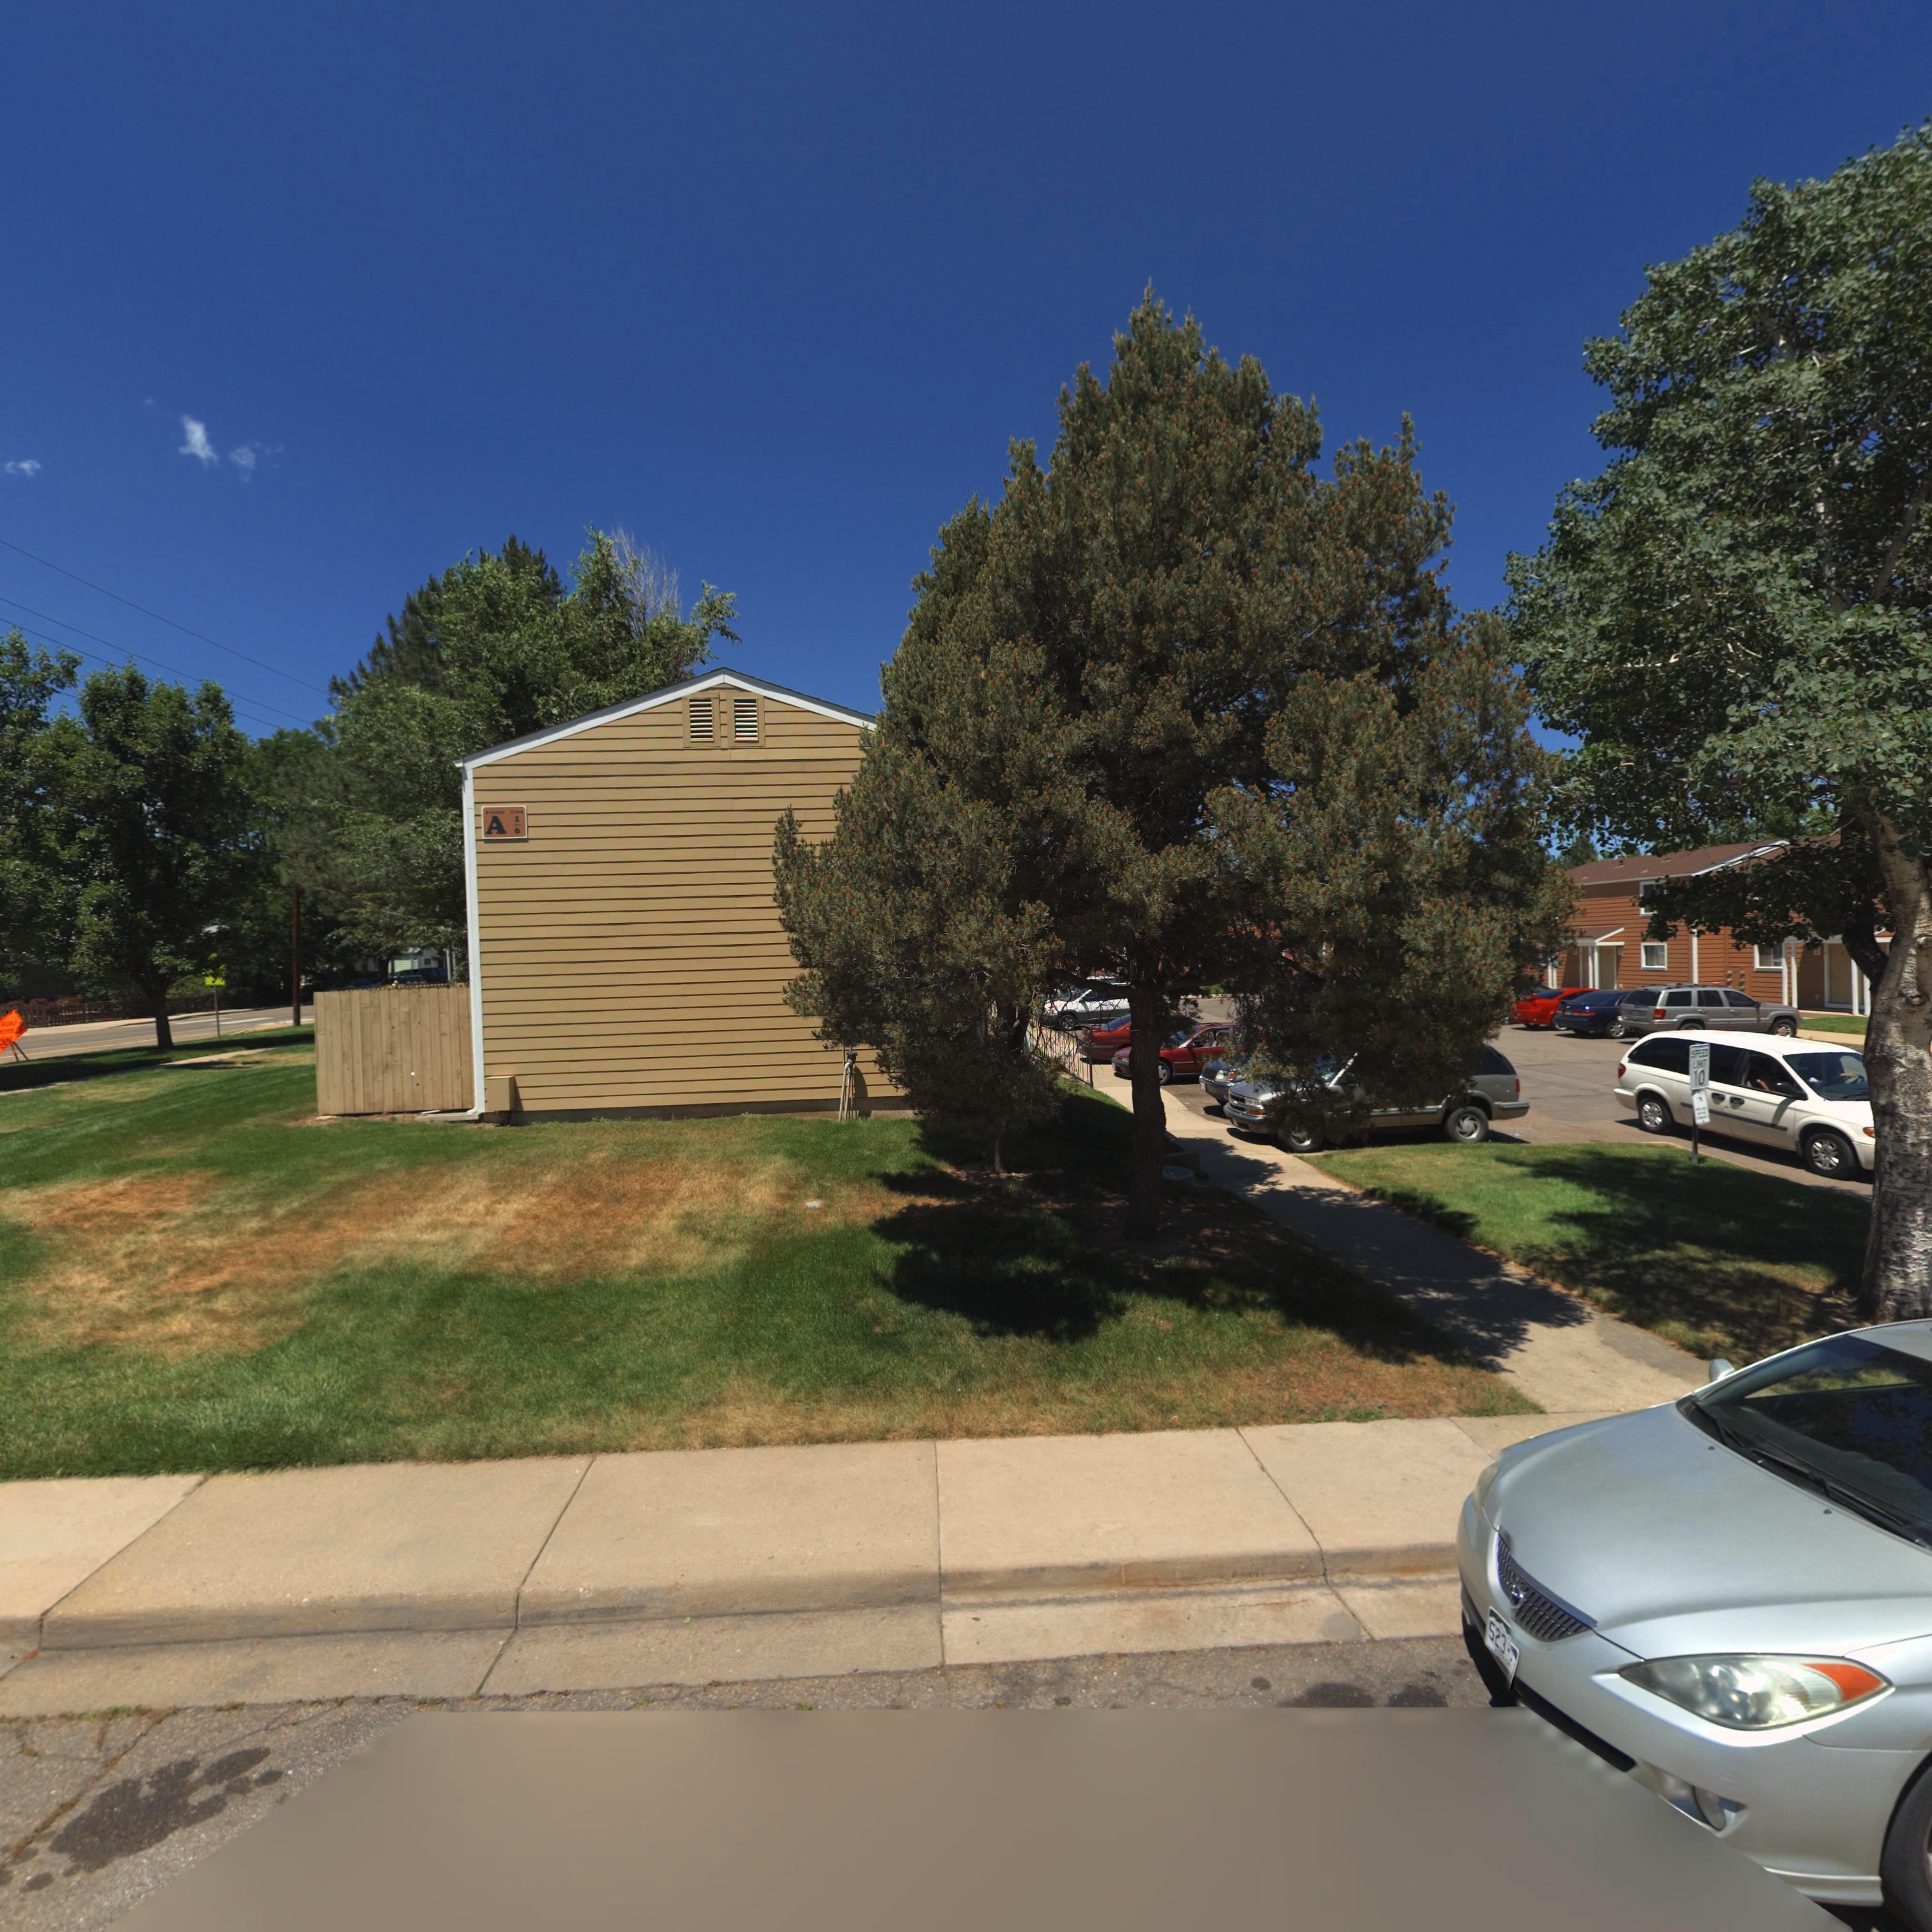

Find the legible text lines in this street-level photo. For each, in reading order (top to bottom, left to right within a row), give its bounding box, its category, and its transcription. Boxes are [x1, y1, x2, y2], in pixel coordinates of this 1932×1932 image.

[1617, 948, 1623, 954] StreetNumber: 7
[1814, 947, 1820, 954] StreetNumber: 1